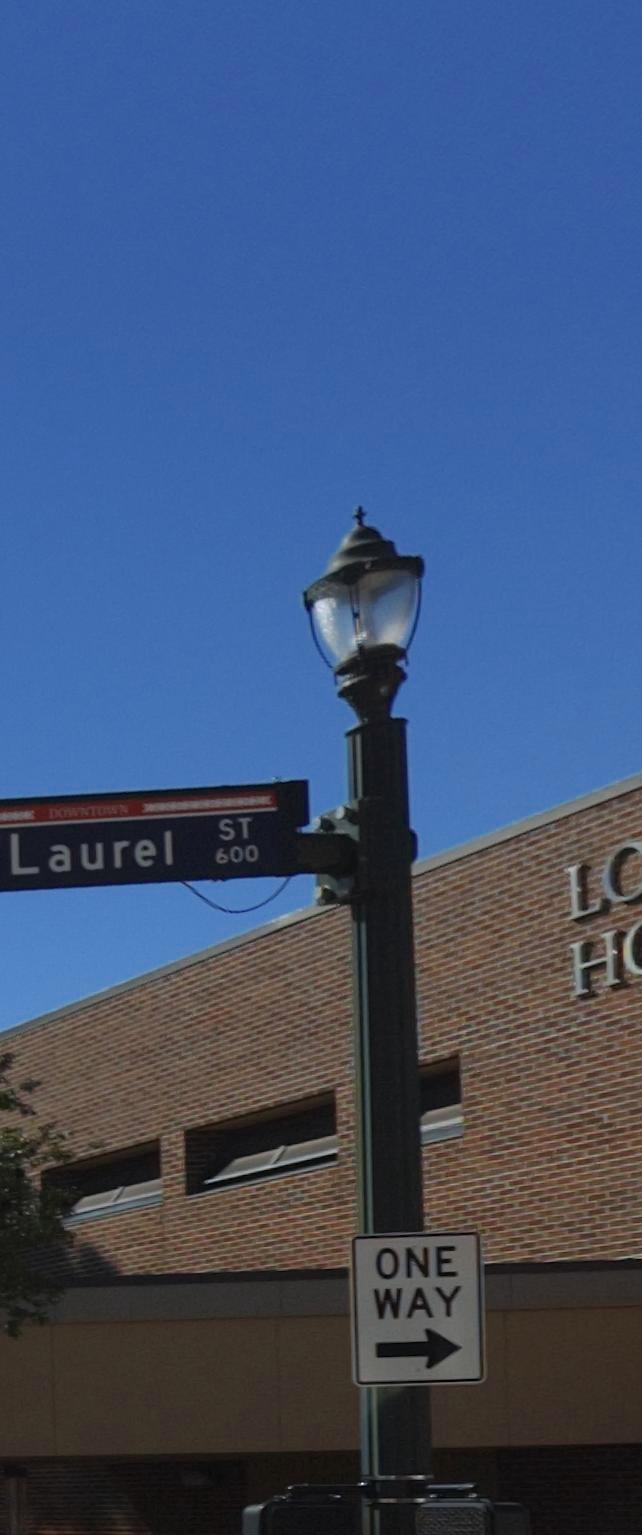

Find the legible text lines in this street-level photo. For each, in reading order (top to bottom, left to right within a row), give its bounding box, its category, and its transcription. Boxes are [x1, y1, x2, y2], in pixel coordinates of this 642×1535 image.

[7, 814, 257, 879] StreetName: Laurel ST
[212, 841, 263, 868] StreetNumber: 600
[560, 859, 609, 924] BusinessName: L
[567, 925, 625, 1000] BusinessName: H
[371, 1242, 463, 1284] None: ONE
[368, 1282, 465, 1323] None: WAY